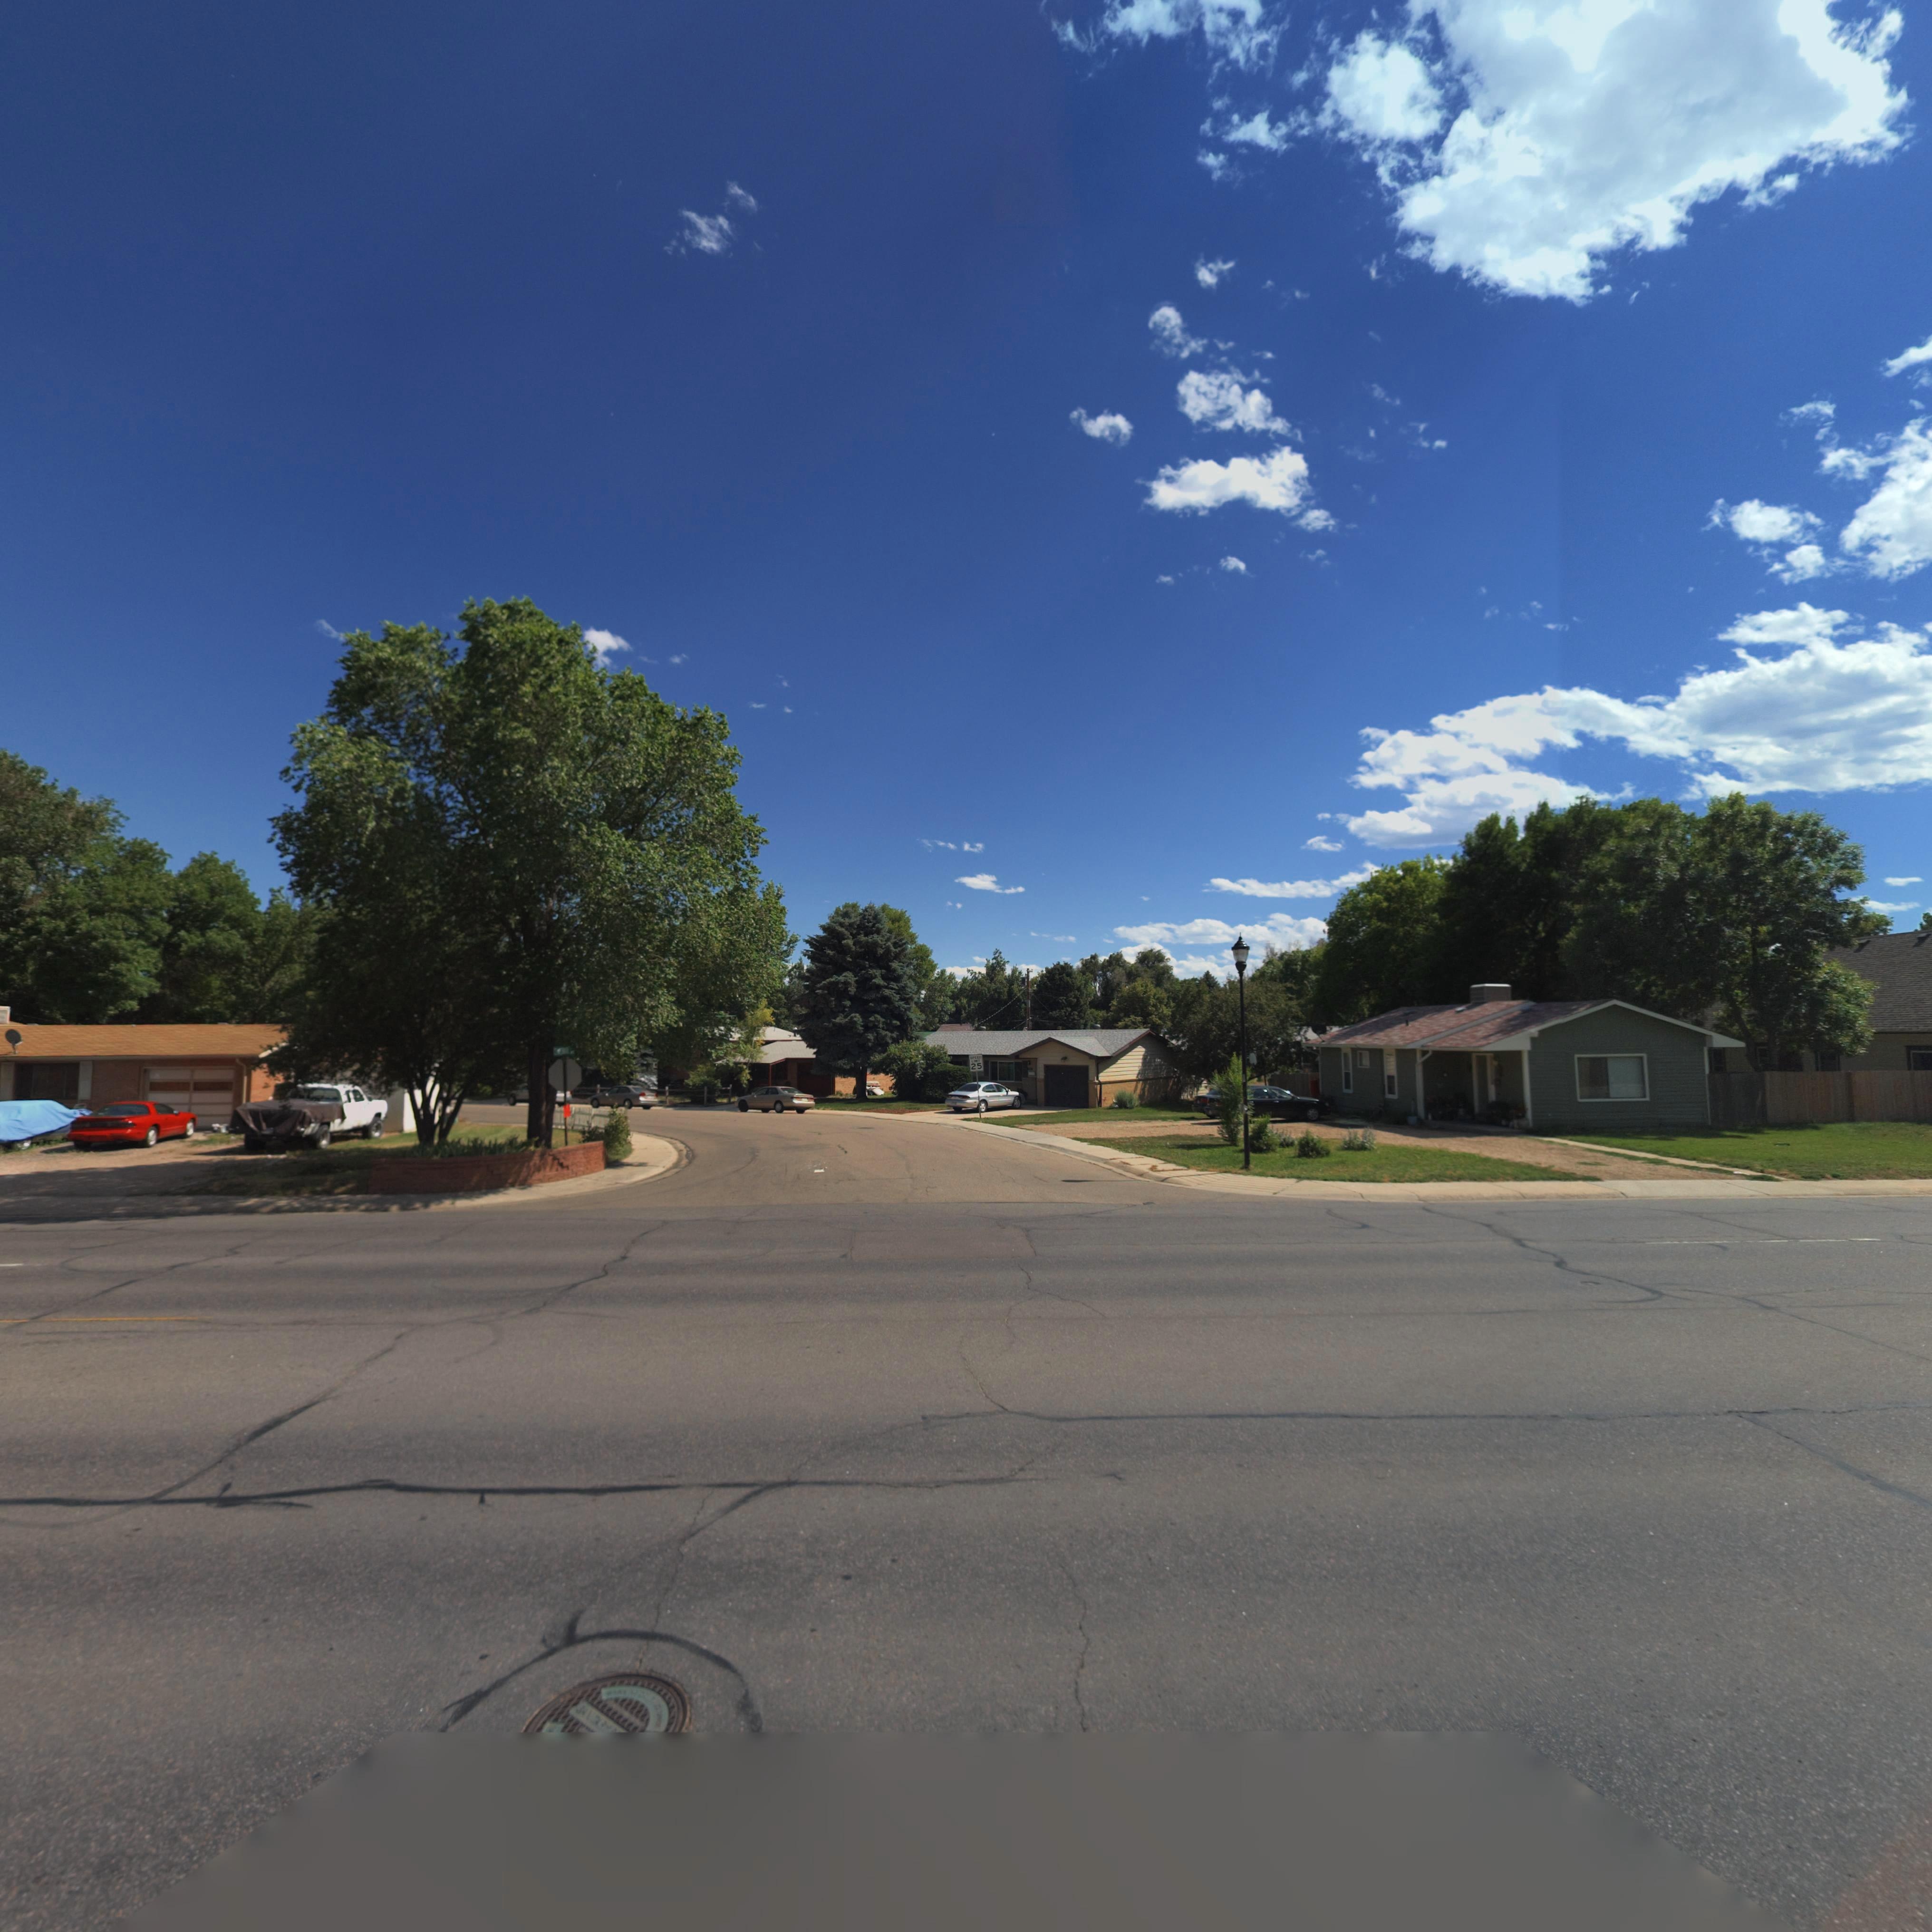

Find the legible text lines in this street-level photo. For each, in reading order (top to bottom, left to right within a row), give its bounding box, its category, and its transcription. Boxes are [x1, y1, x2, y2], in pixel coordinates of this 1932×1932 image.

[553, 1046, 569, 1055] StreetName: **R*